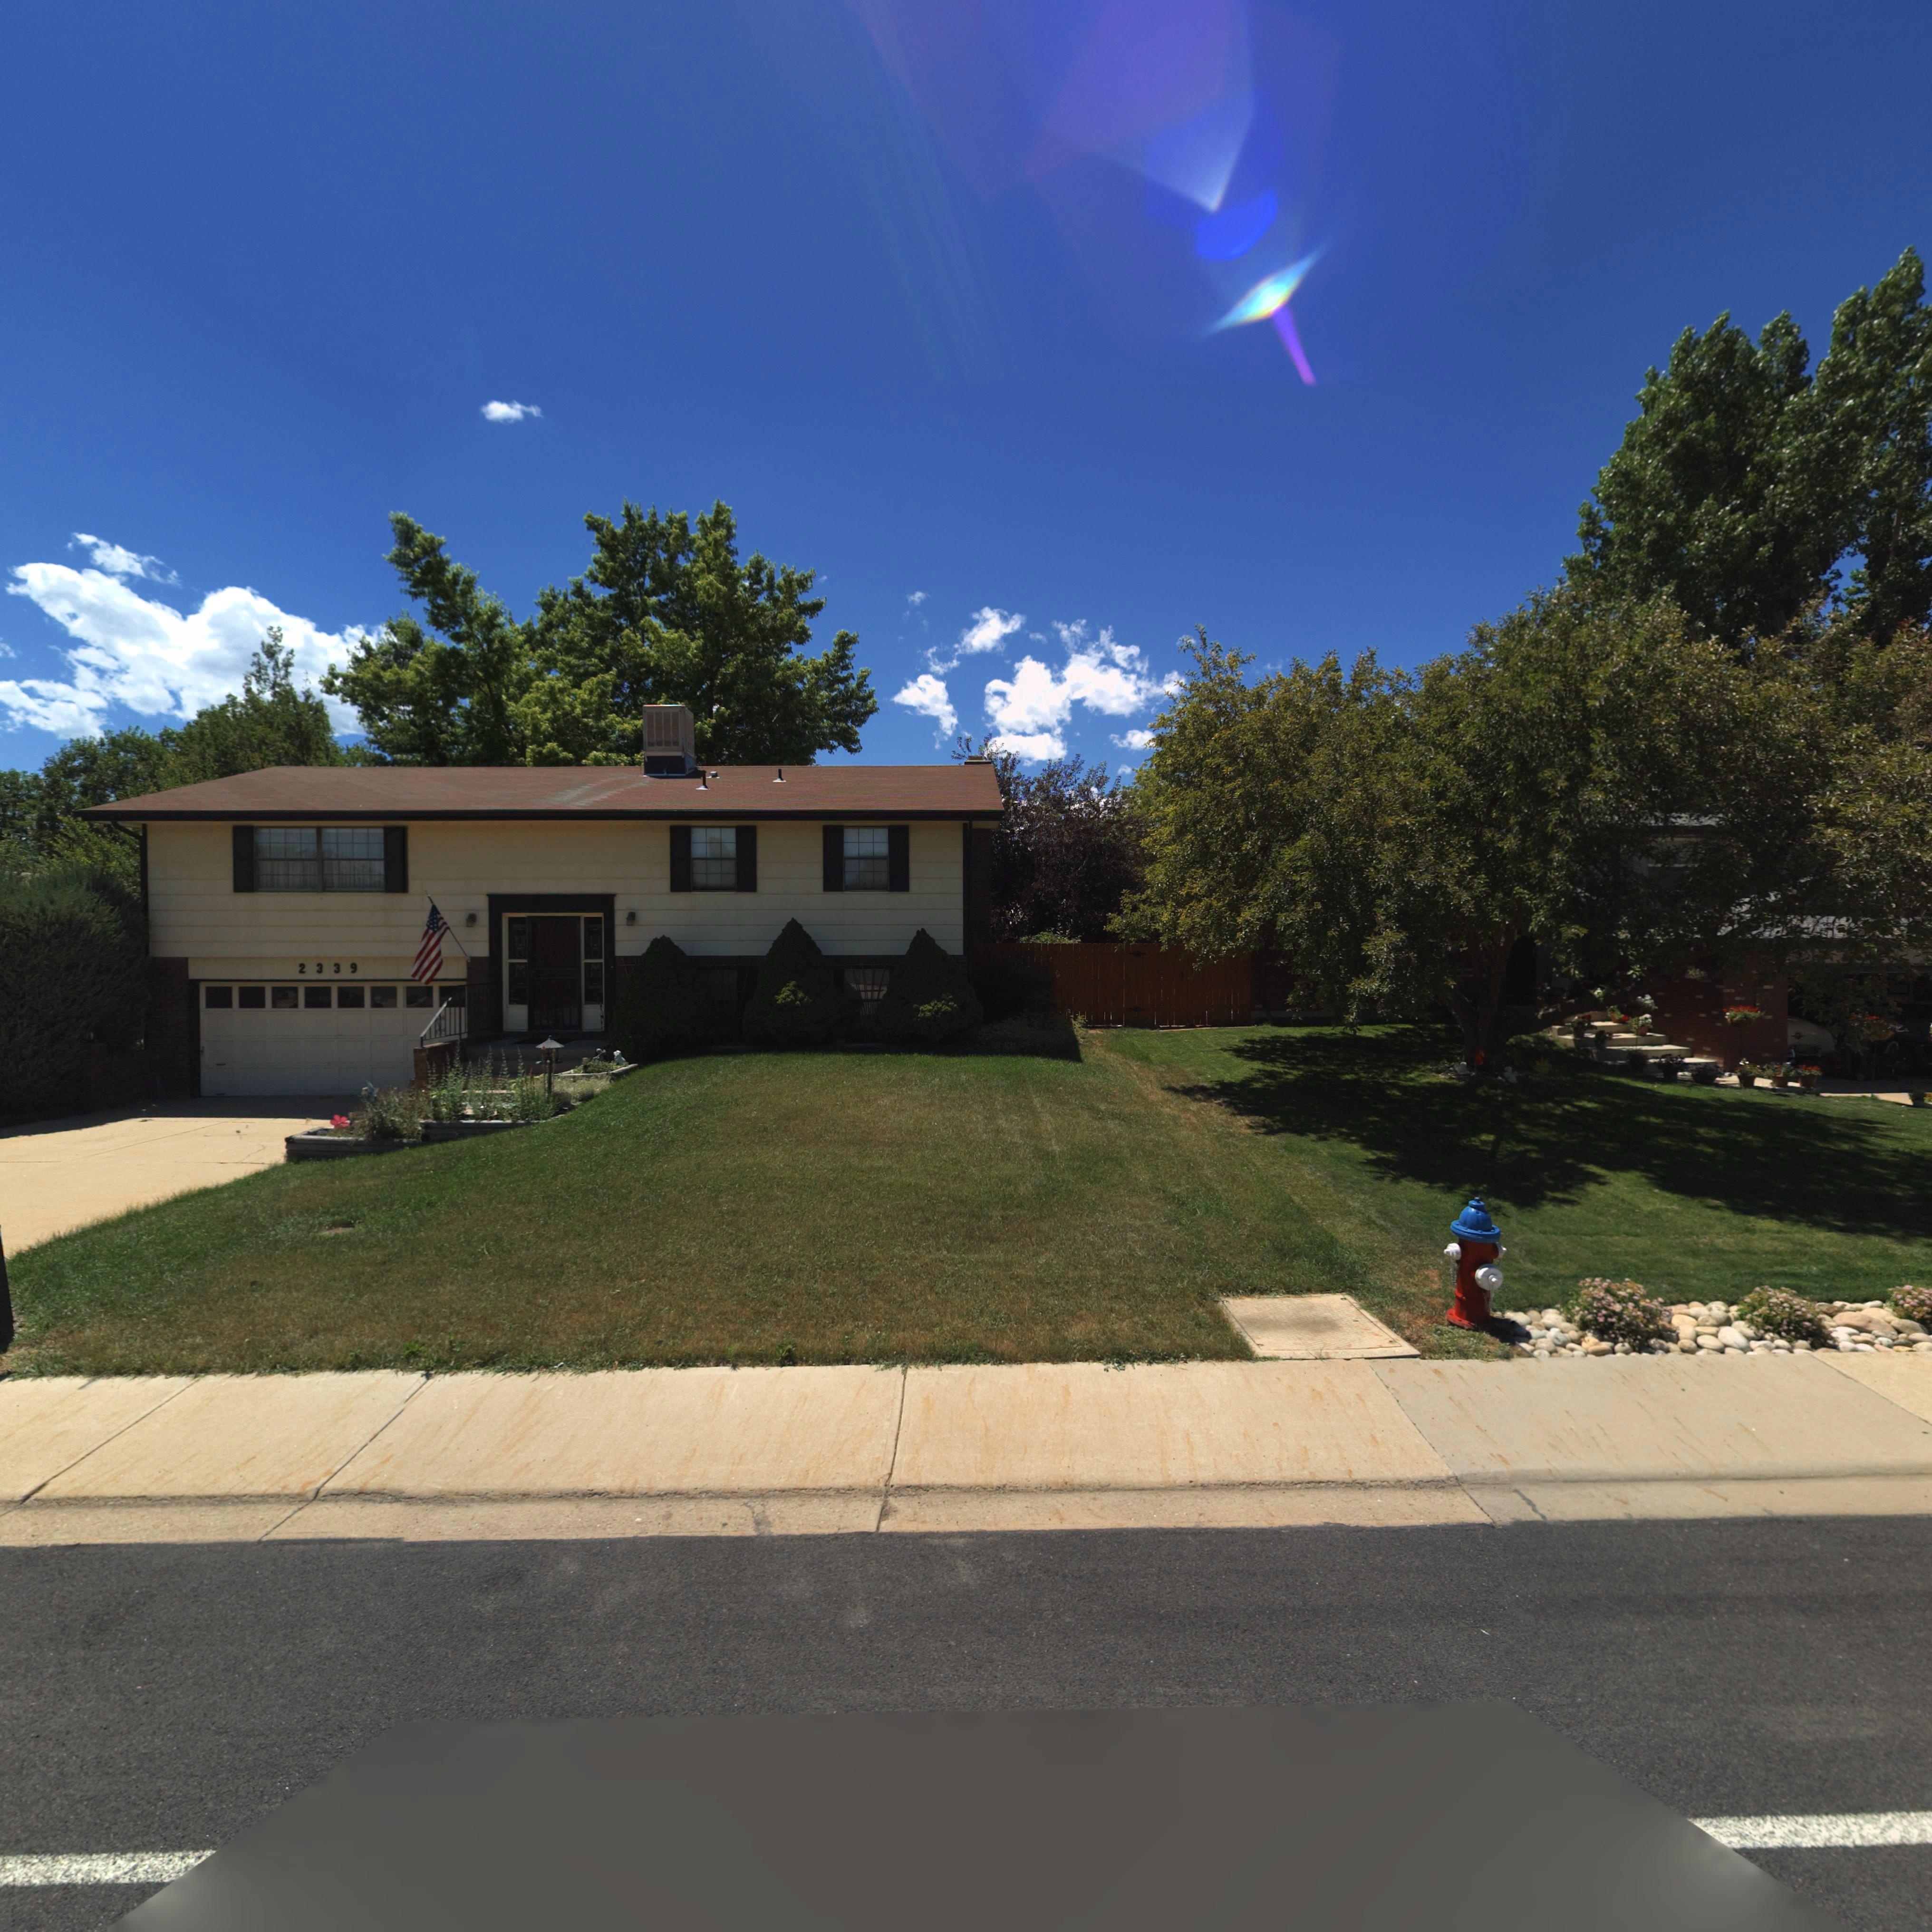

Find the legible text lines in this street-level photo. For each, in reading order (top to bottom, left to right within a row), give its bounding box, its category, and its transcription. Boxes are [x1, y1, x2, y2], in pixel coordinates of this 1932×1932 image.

[298, 962, 357, 974] StreetNumber: 2339